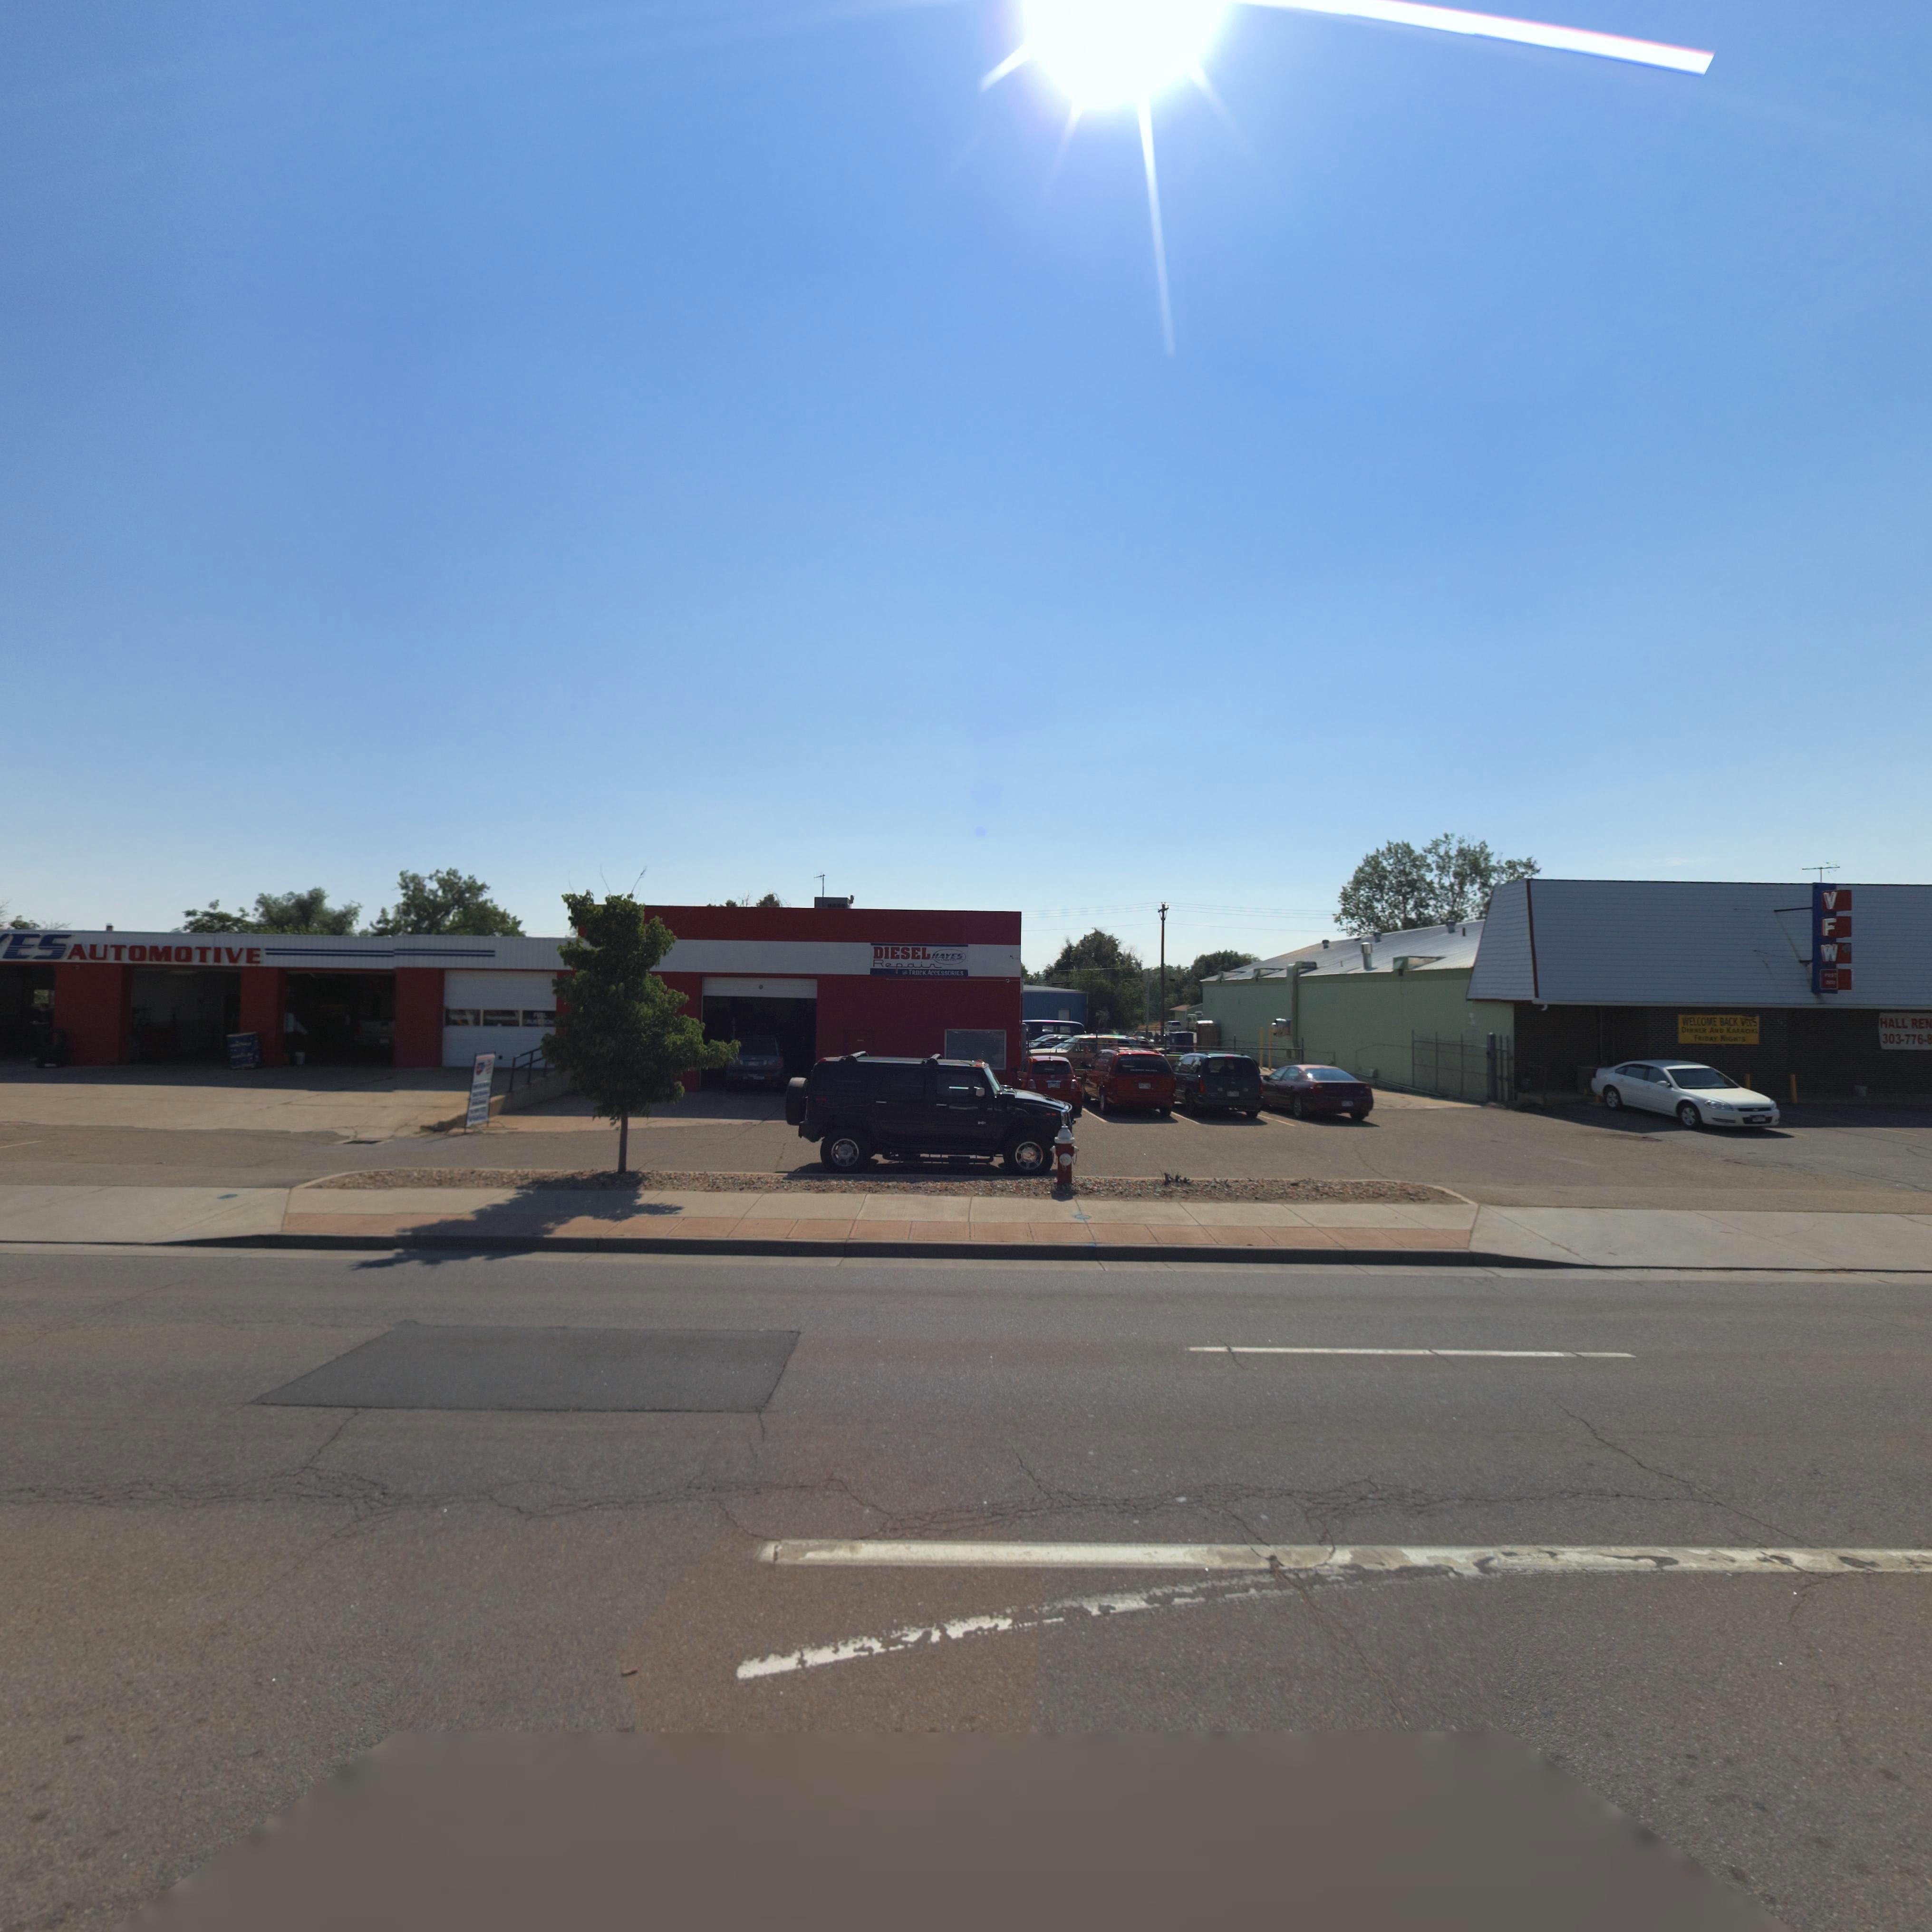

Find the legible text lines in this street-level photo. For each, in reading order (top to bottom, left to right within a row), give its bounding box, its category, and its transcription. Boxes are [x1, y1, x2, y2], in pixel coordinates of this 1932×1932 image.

[1820, 890, 1838, 962] BusinessName: VFW
[2, 932, 72, 960] BusinessName: ES
[66, 942, 261, 965] BusinessName: AUTOMOTIVE
[1824, 973, 1837, 978] BusinessName: POST